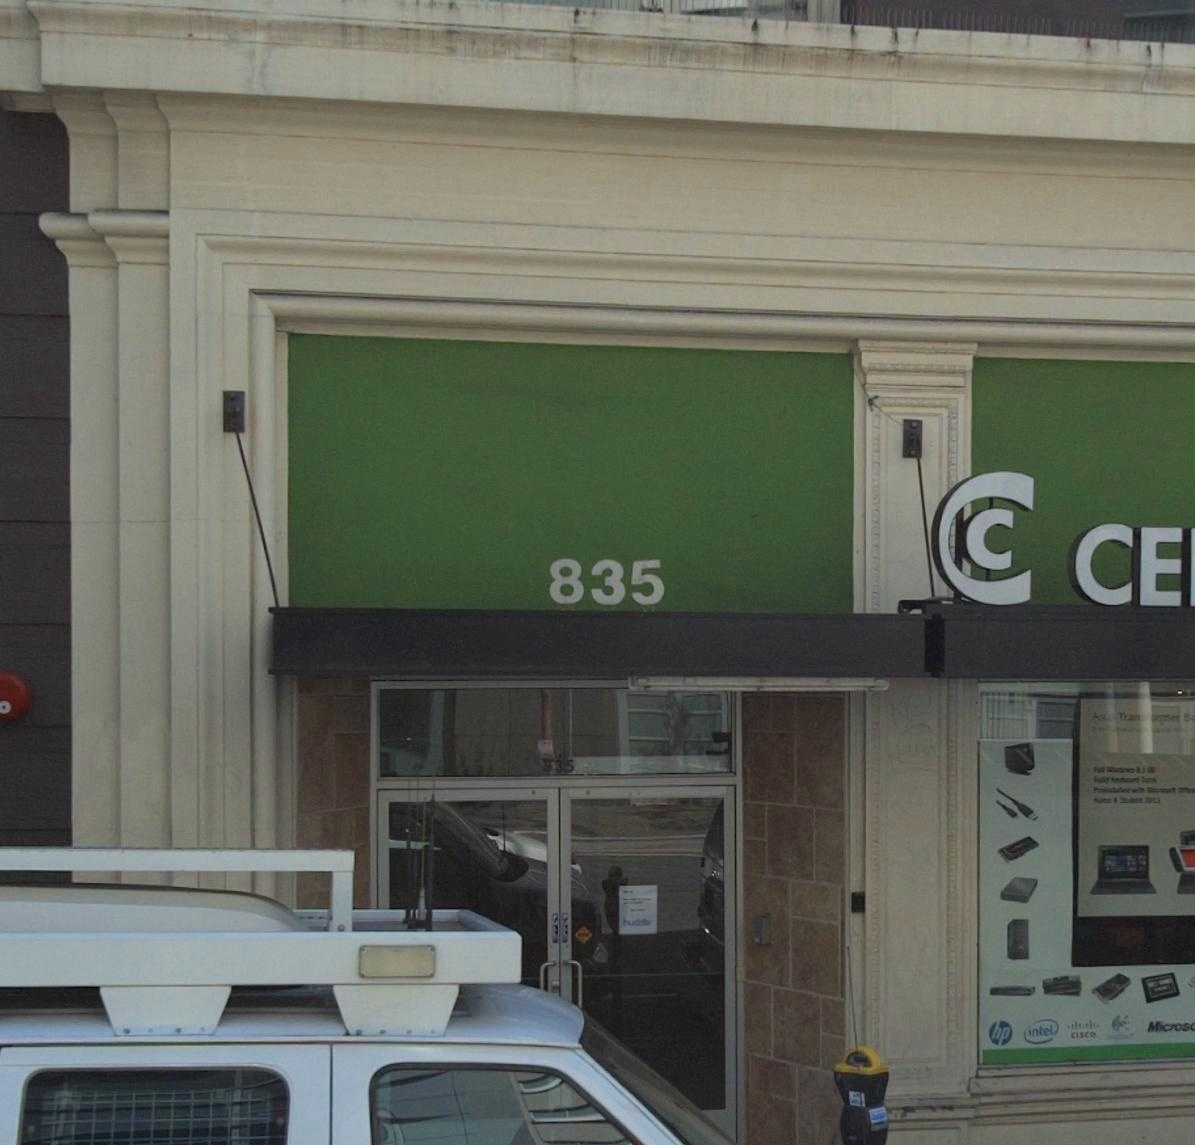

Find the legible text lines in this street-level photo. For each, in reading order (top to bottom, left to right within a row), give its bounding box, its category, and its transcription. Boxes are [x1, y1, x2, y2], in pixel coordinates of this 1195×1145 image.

[1059, 518, 1186, 611] BusinessName: CE
[547, 557, 665, 606] StreetNumber: 835
[1026, 1022, 1055, 1037] None: intel
[1070, 1029, 1098, 1040] None: CISCO
[1145, 1019, 1190, 1035] None: Micros